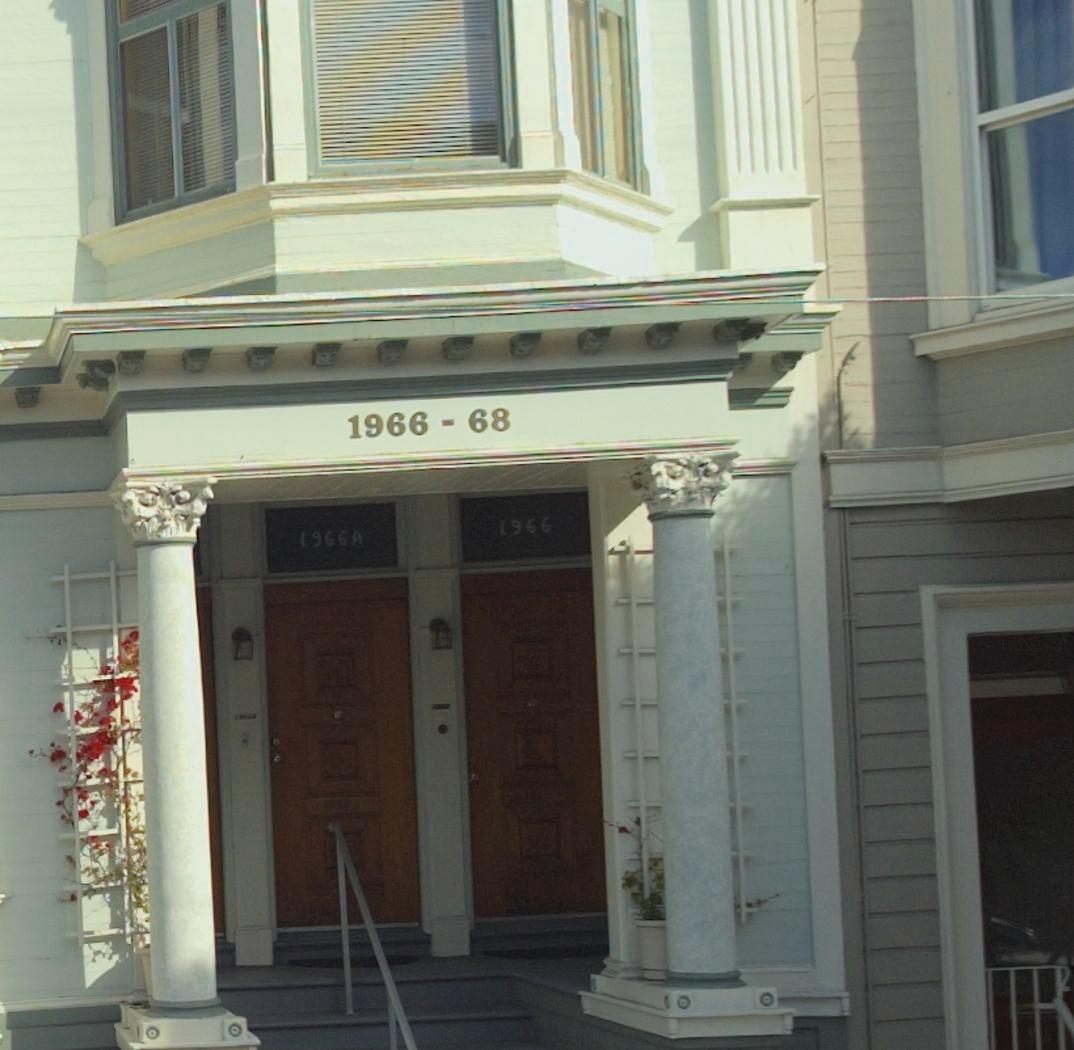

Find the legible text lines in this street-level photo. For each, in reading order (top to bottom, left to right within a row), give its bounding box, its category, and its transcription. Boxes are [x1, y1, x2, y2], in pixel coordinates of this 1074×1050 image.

[344, 407, 432, 443] StreetNumber: 1966
[465, 403, 513, 437] StreetNumber: 68
[297, 527, 366, 551] StreetNumber: 1966A
[498, 513, 554, 539] StreetNumber: 1966